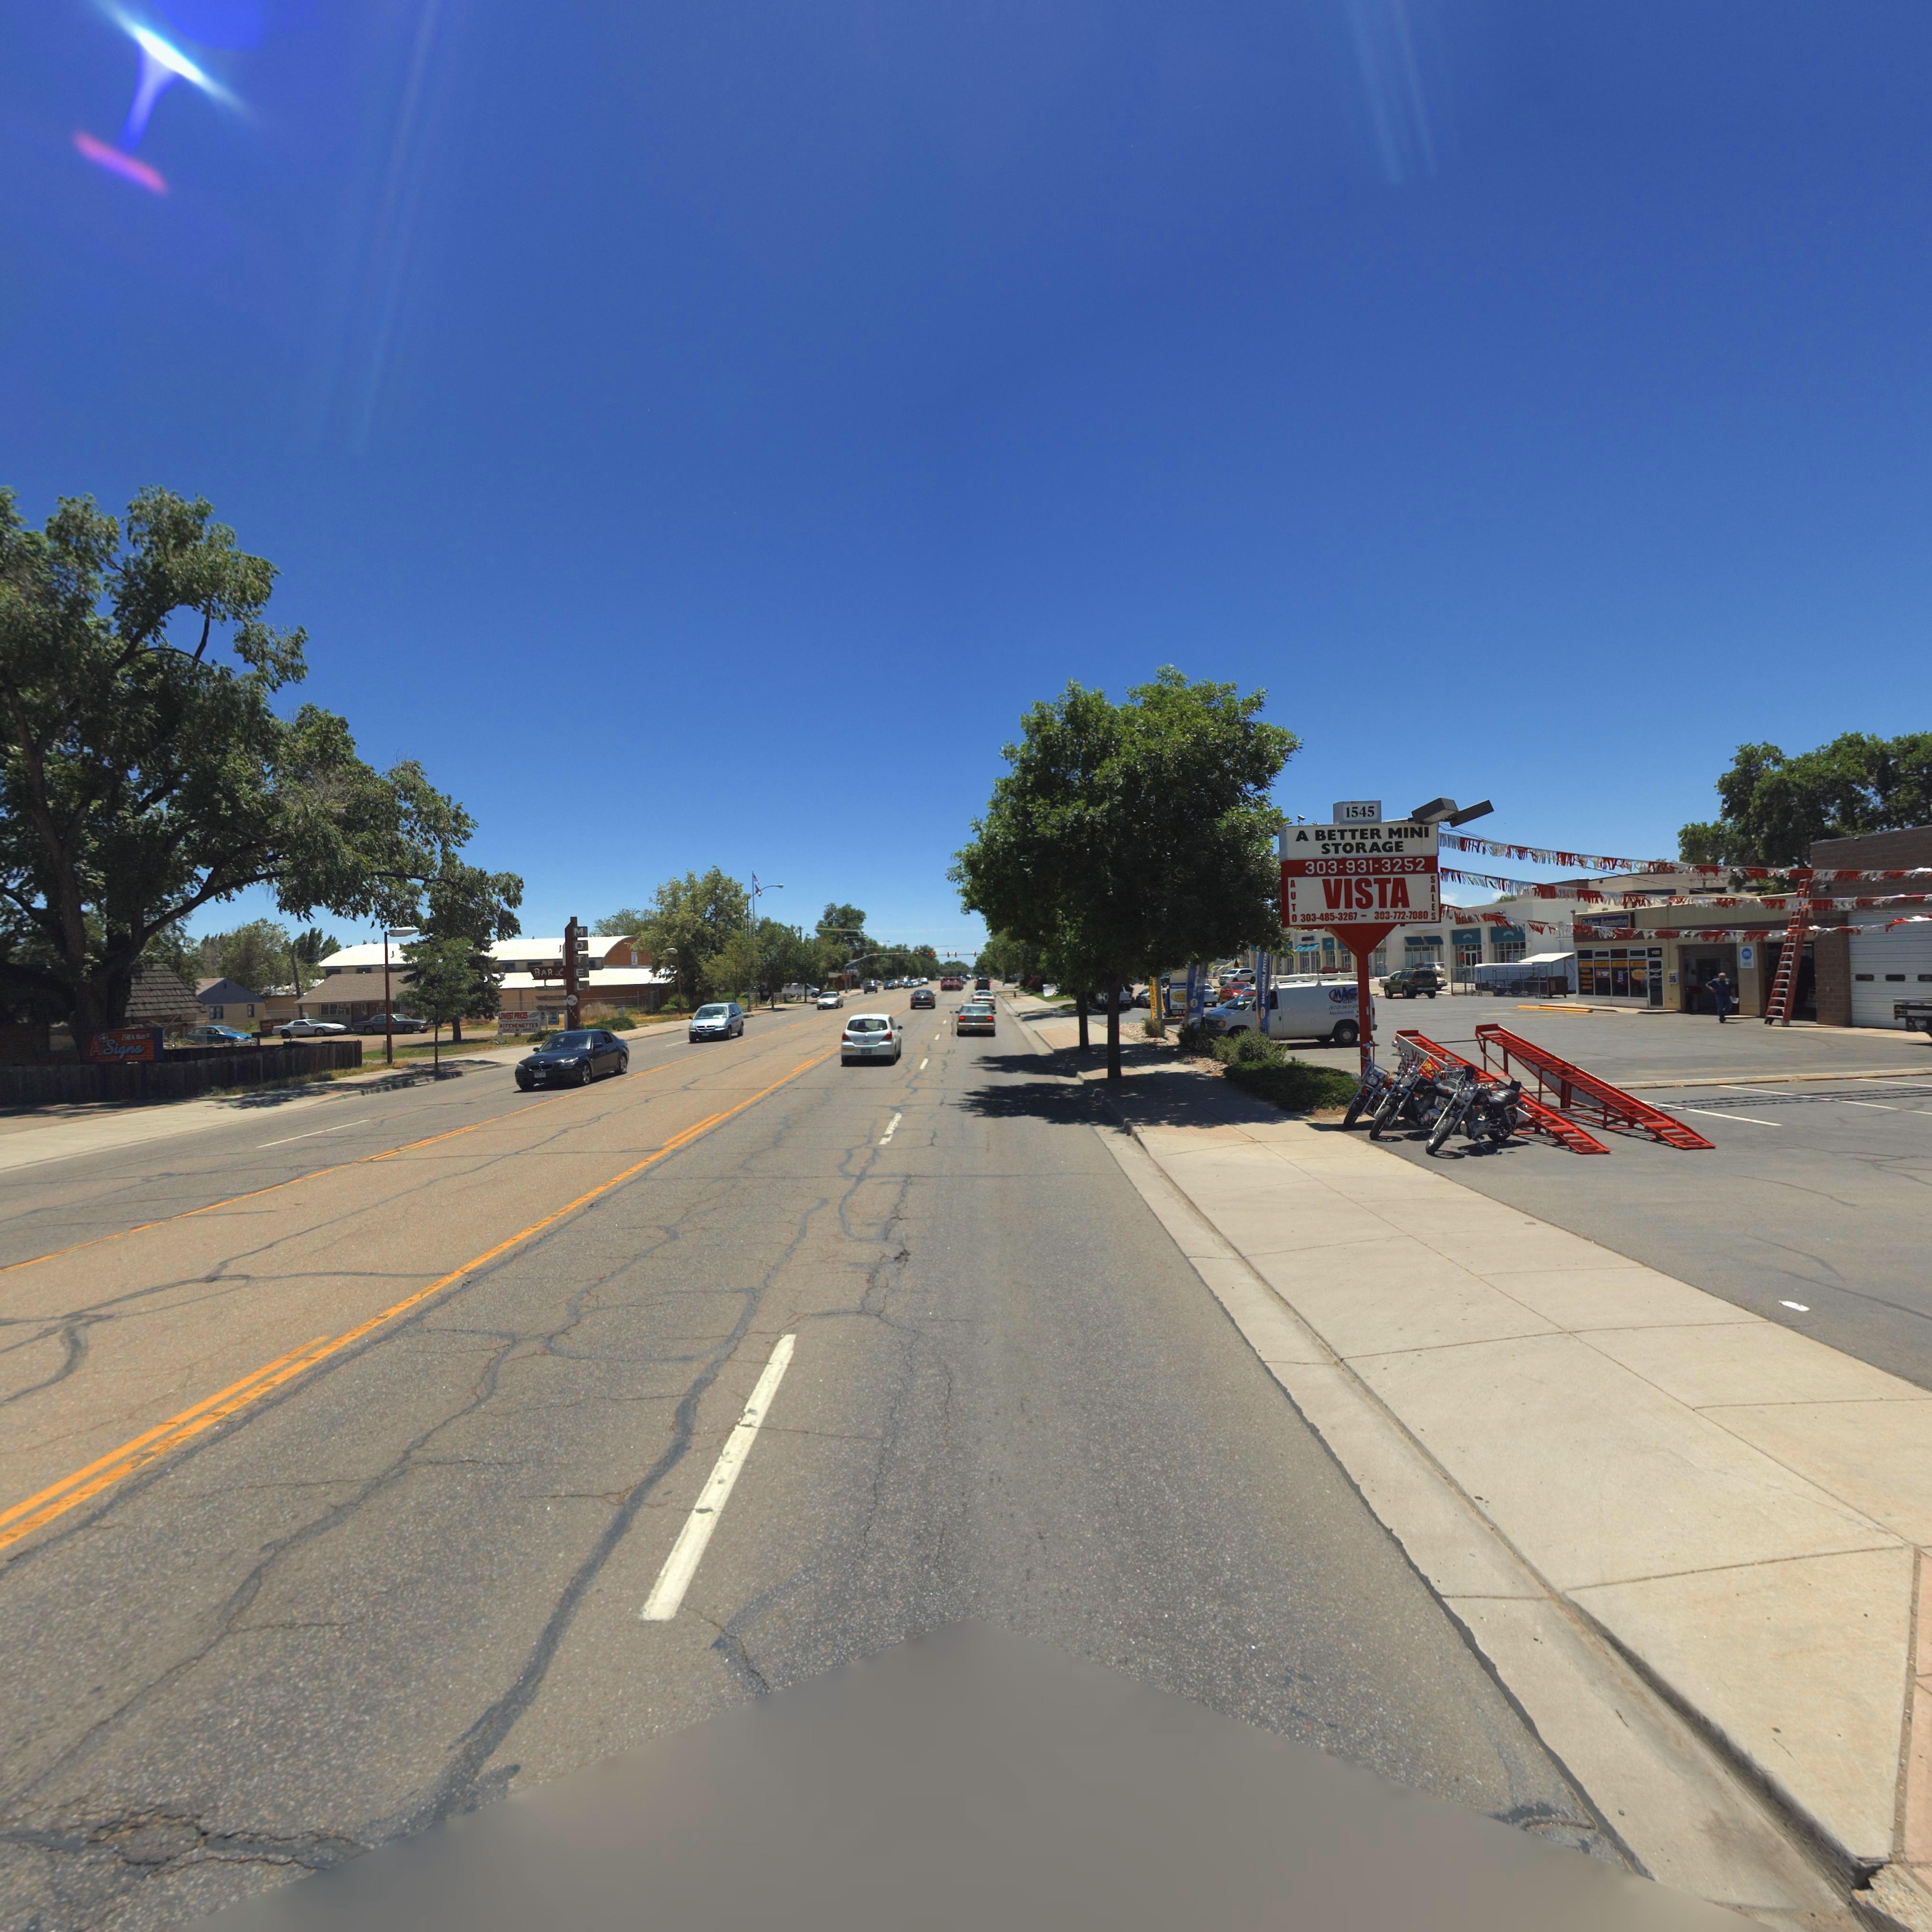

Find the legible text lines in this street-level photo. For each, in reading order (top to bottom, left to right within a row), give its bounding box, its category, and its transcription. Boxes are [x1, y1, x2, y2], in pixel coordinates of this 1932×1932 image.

[1345, 805, 1375, 818] StreetNumber: 1545
[1294, 826, 1429, 841] BusinessName: A BETTER MINI
[1320, 840, 1404, 855] BusinessName: STORAGE
[1289, 878, 1298, 923] BusinessName: AUTO
[1321, 877, 1410, 909] BusinessName: VISTA
[1429, 874, 1437, 920] BusinessName: SALES
[1582, 918, 1628, 928] BusinessName: **M**s Automotive
[1652, 949, 1660, 955] StreetNumber: 15**
[89, 1032, 109, 1056] BusinessName: A*
[103, 1037, 145, 1061] BusinessName: Signs